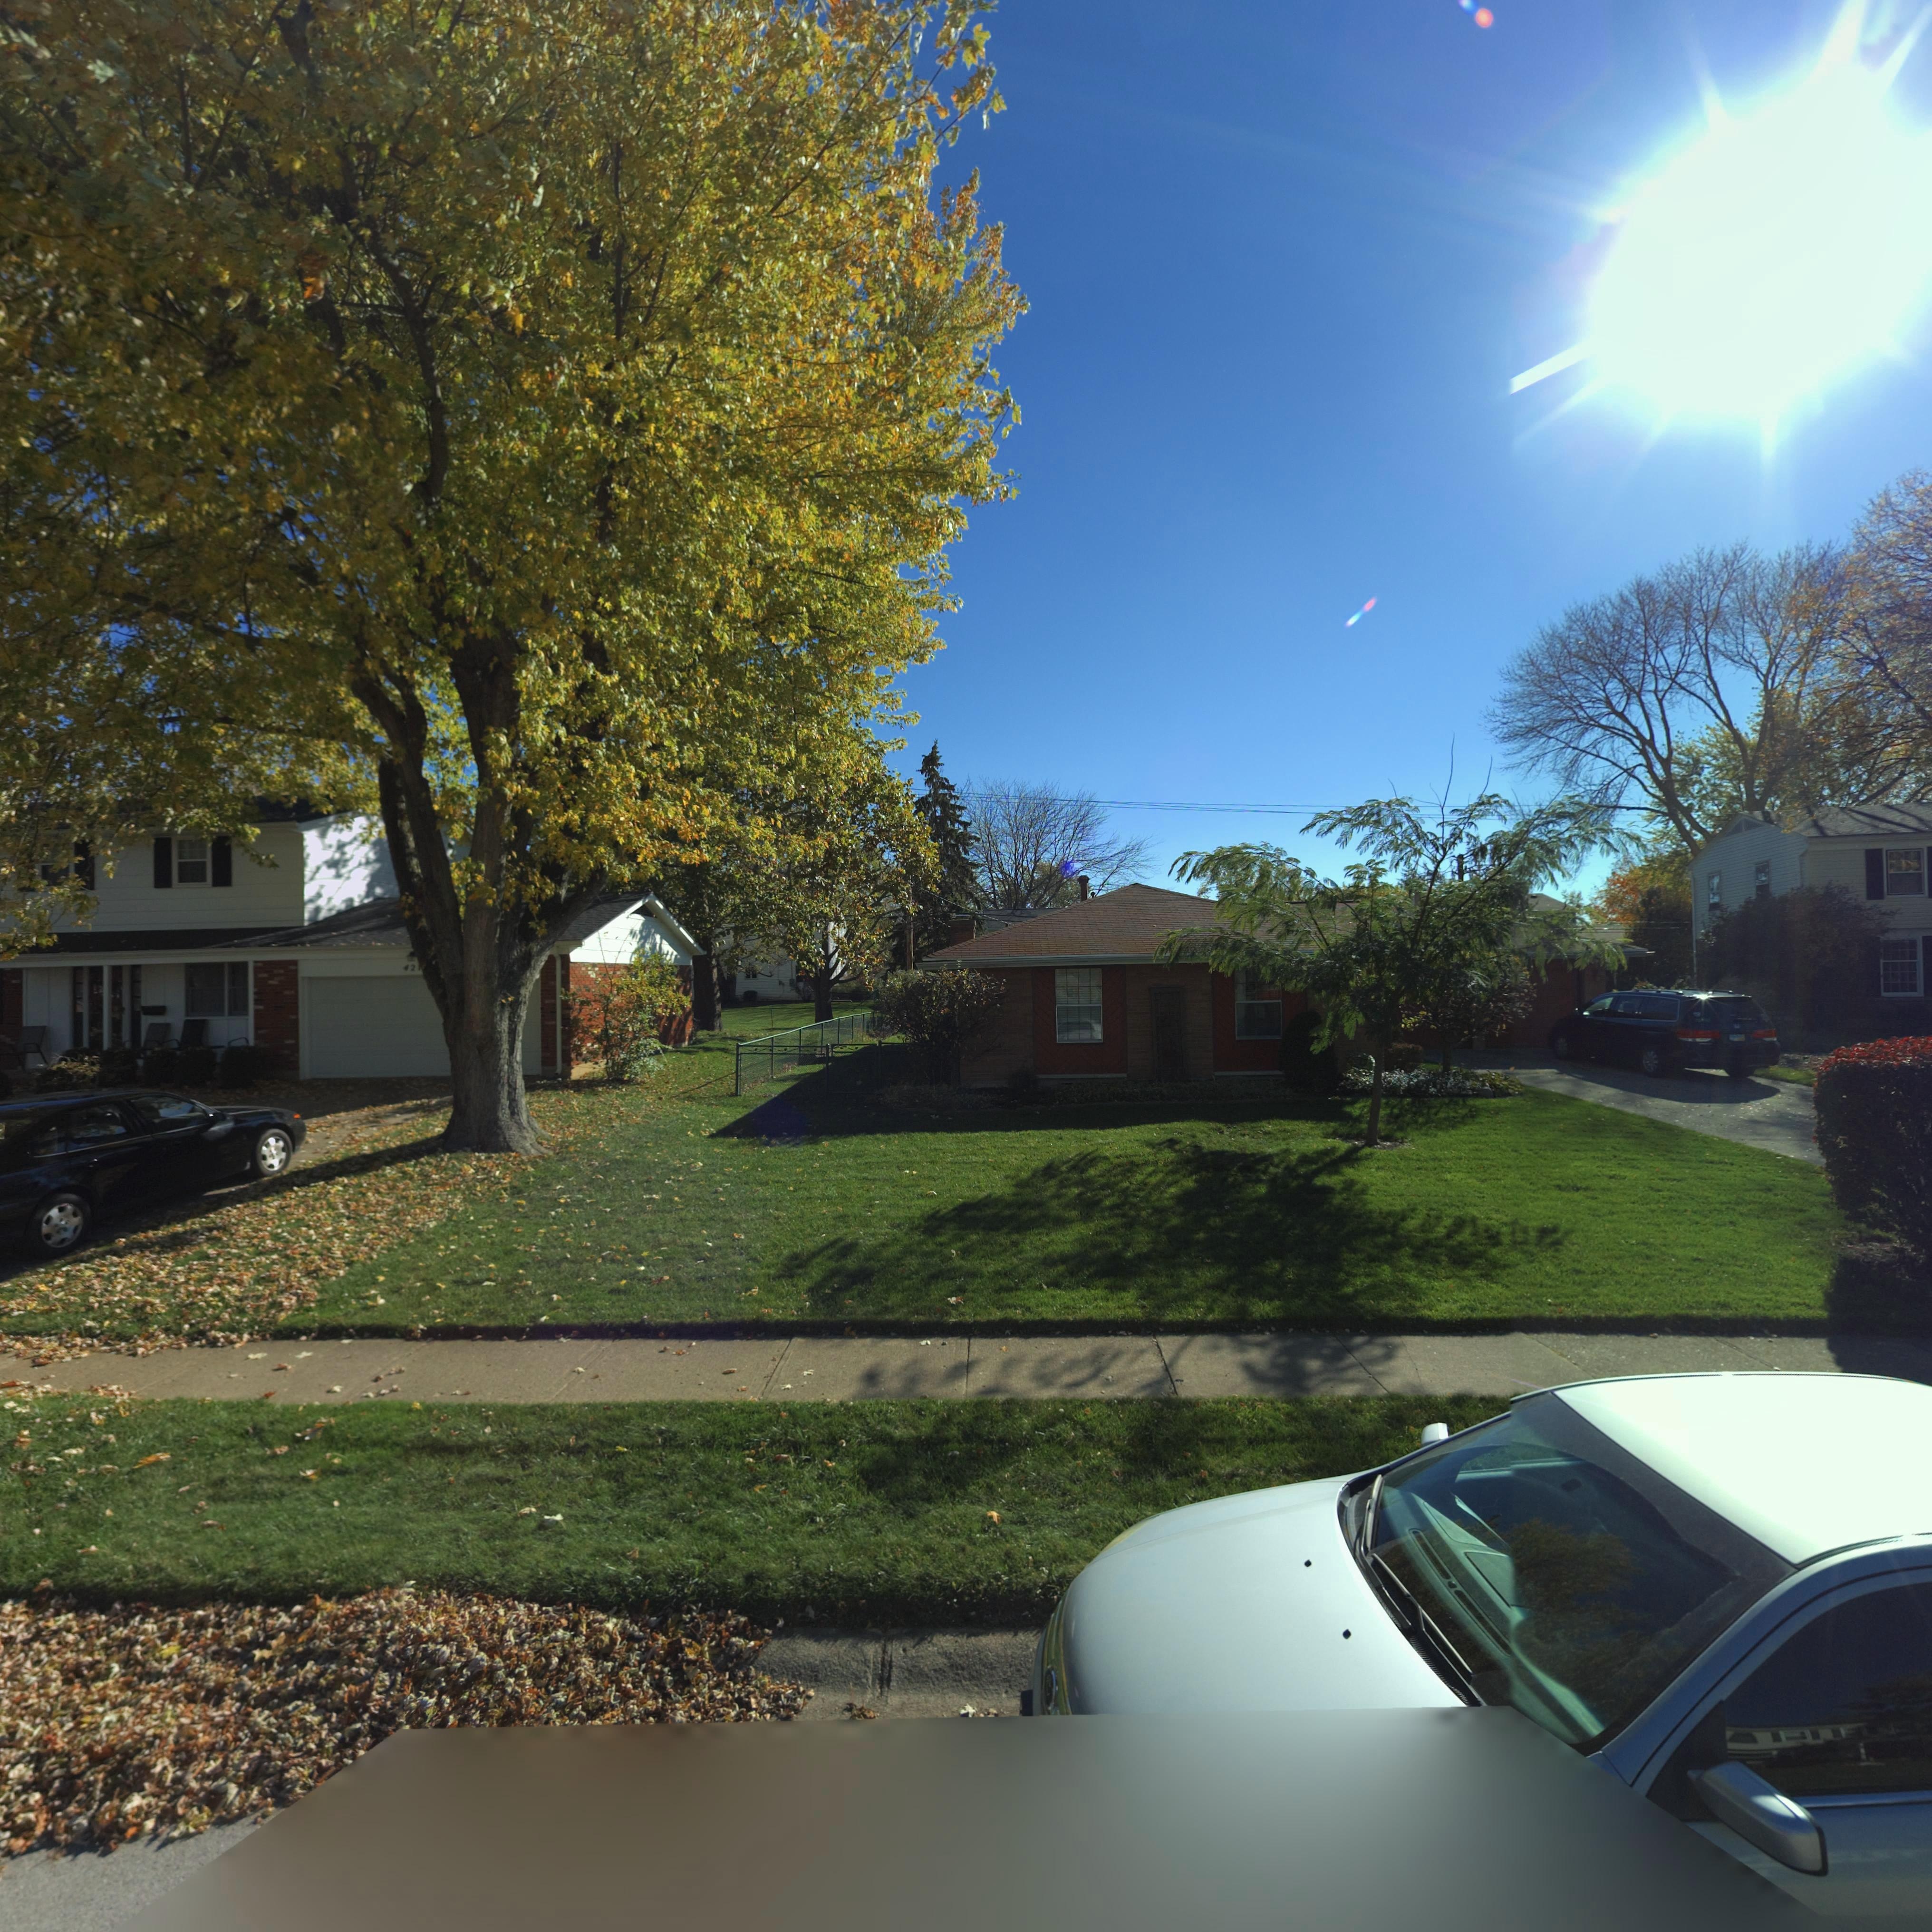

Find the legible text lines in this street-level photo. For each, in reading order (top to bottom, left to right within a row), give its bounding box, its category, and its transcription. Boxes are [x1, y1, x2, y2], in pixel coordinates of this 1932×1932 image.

[402, 962, 417, 973] StreetNumber: *2